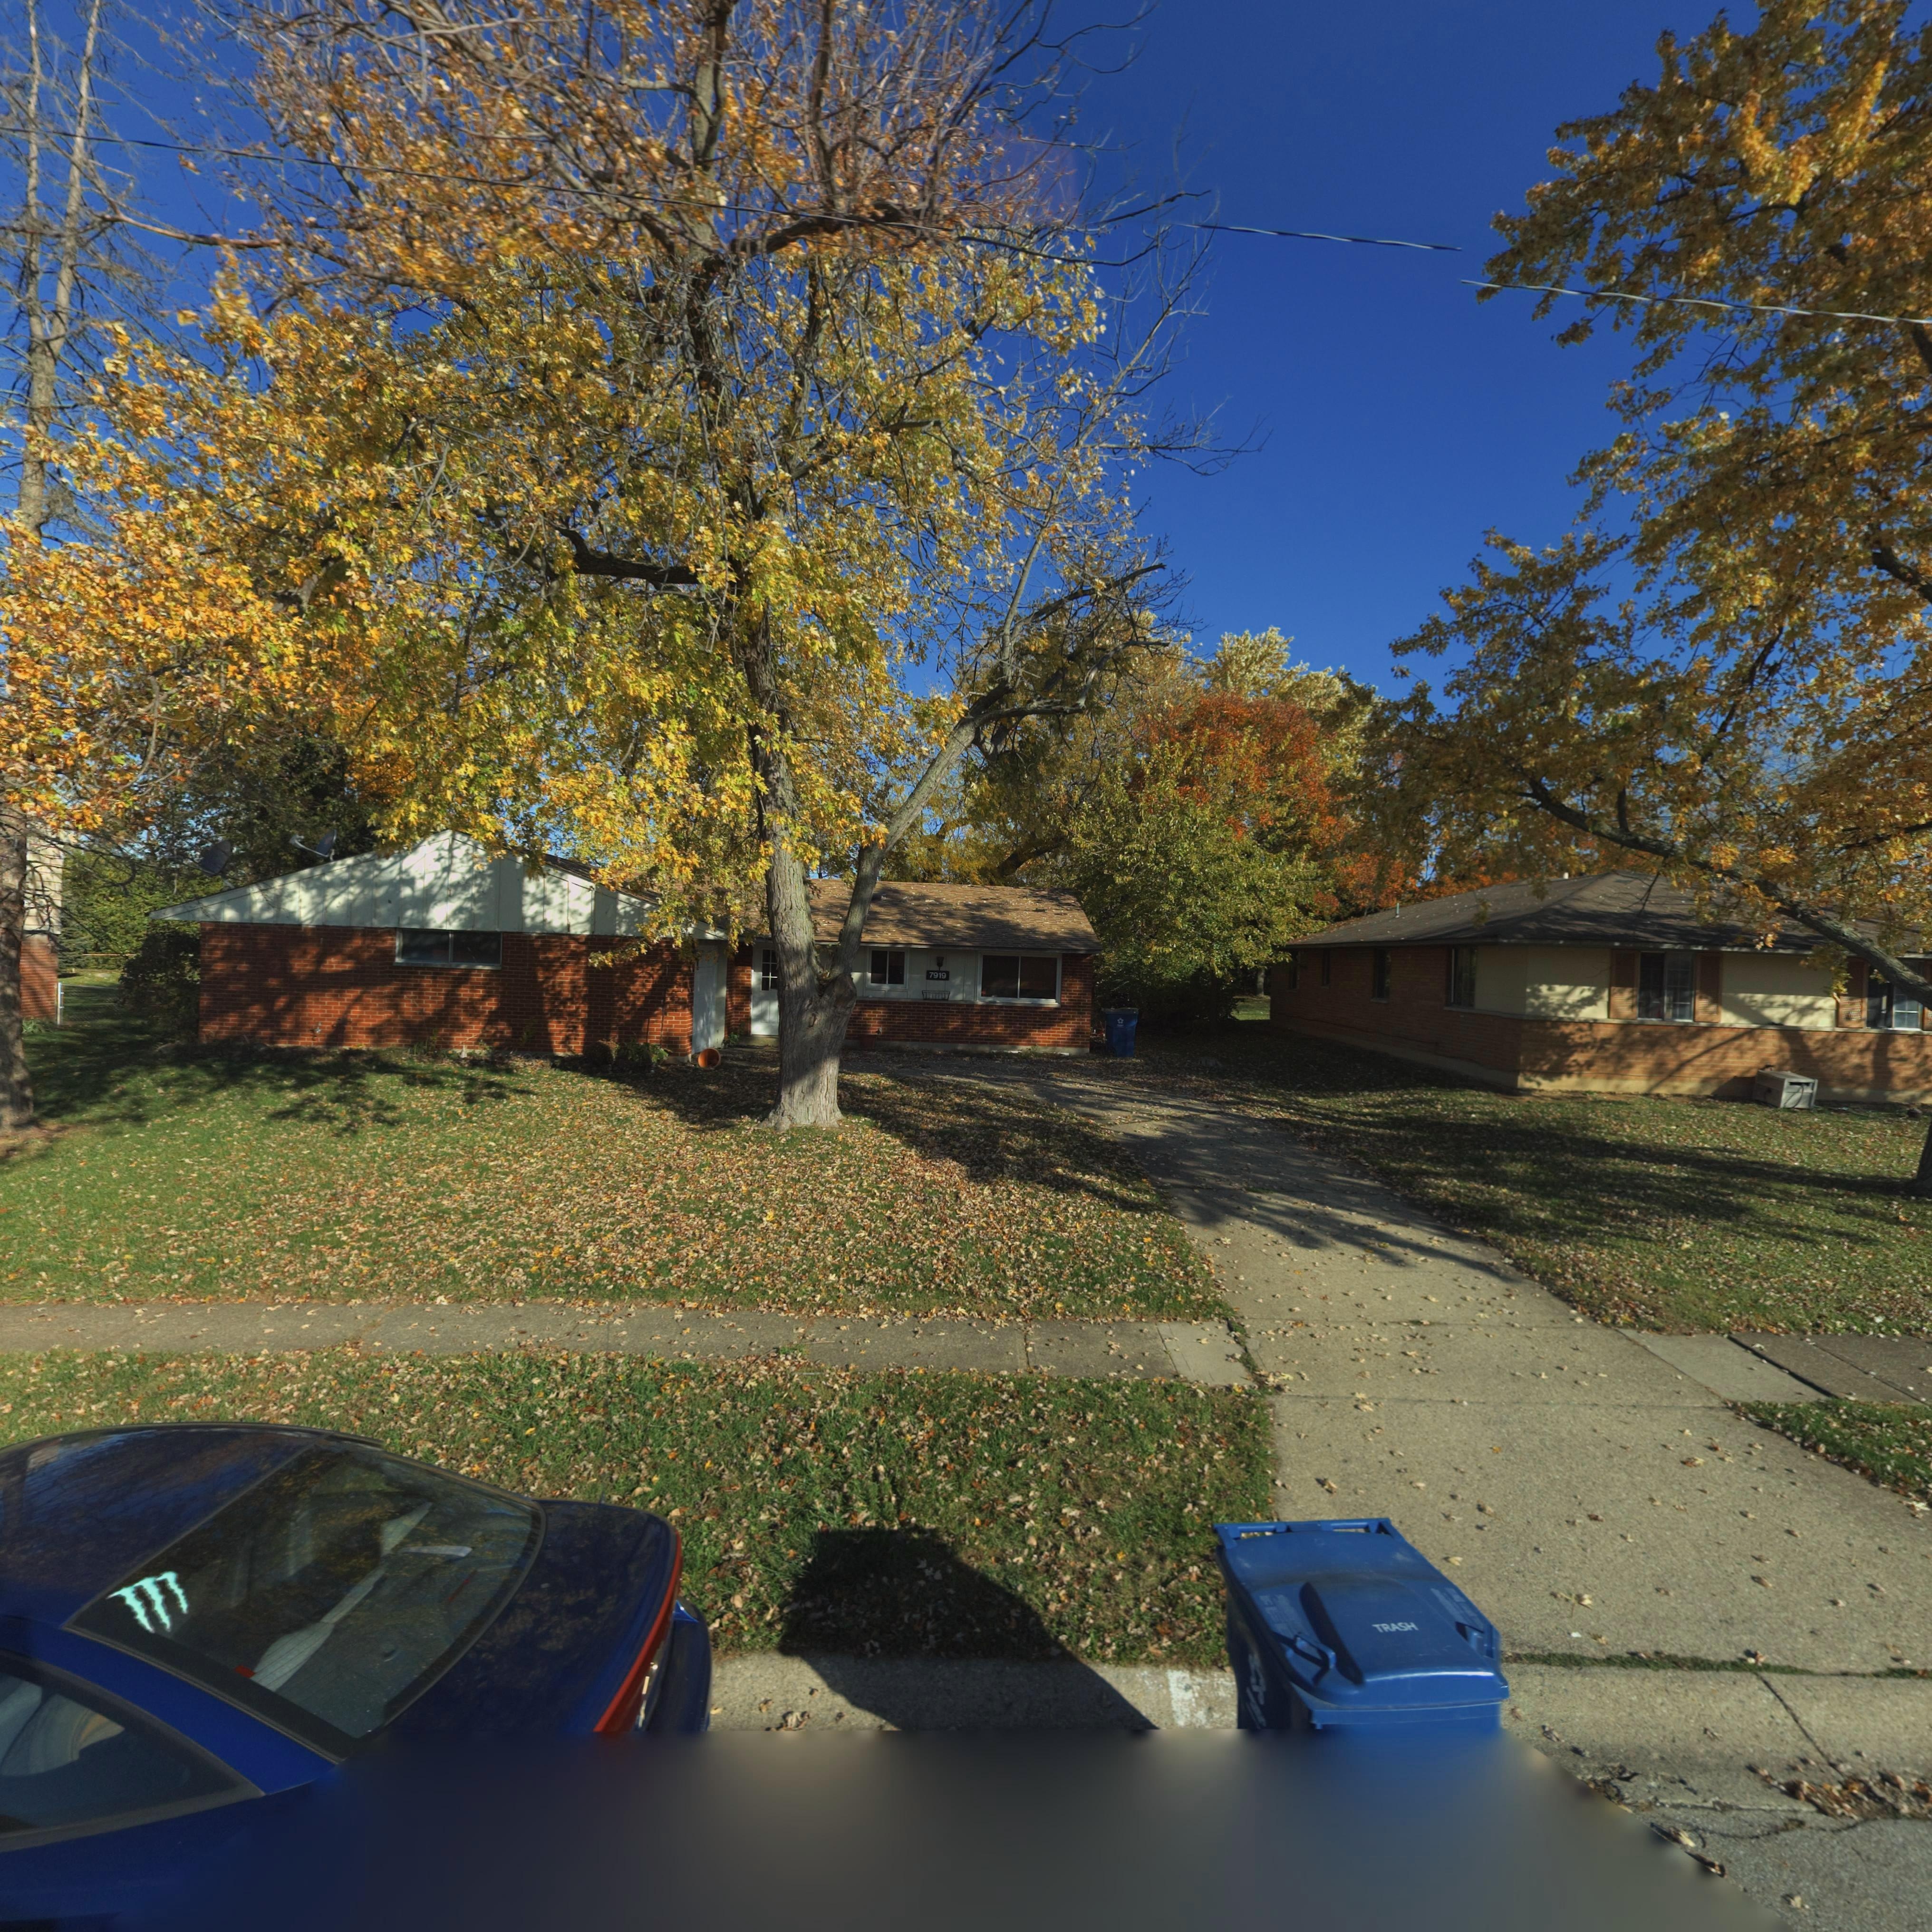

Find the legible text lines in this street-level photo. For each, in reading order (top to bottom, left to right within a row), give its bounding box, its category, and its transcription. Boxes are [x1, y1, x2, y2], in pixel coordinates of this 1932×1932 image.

[928, 971, 947, 980] StreetNumber: 7919